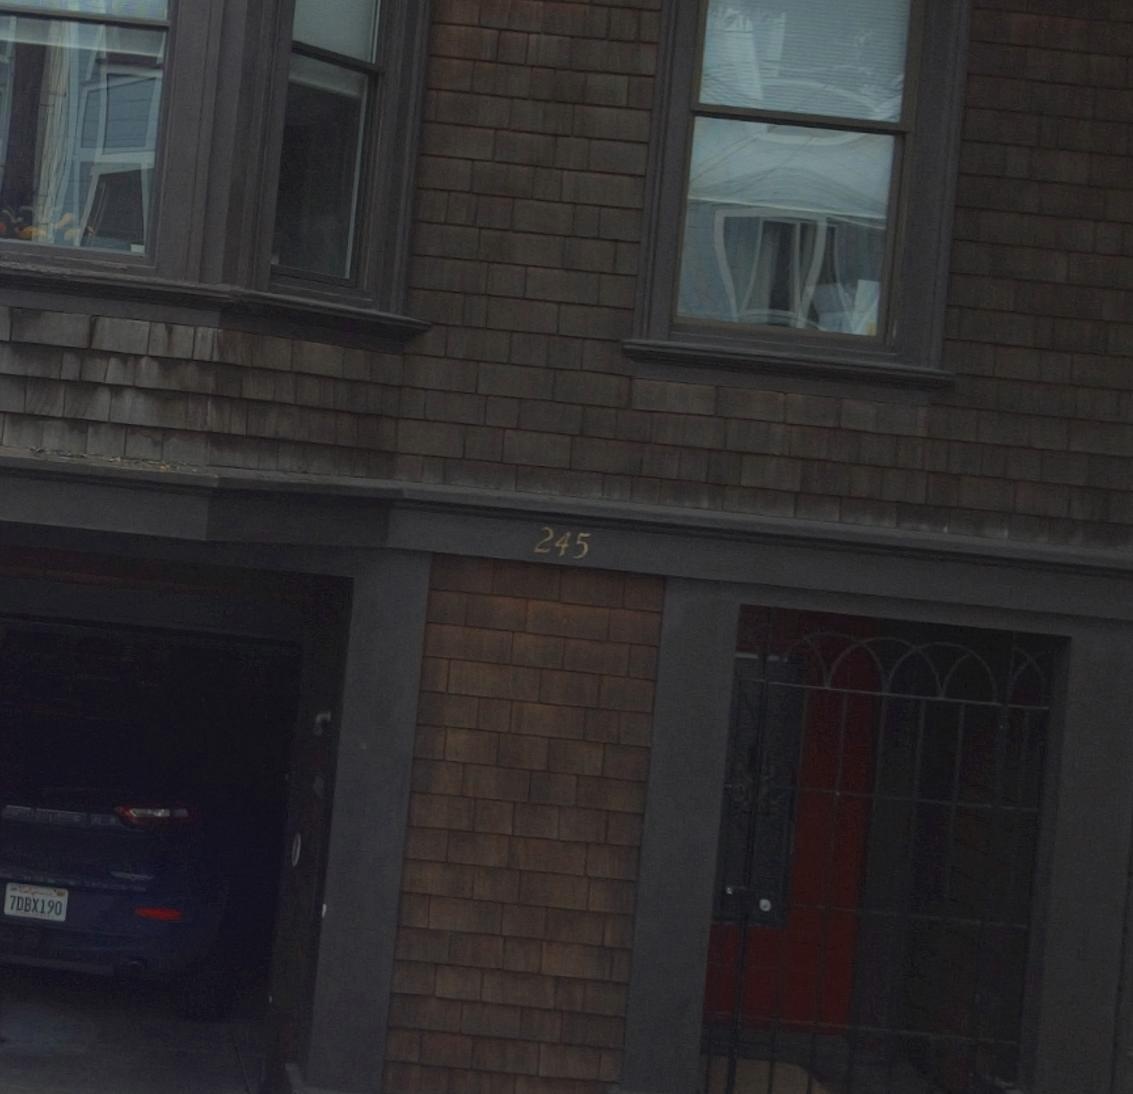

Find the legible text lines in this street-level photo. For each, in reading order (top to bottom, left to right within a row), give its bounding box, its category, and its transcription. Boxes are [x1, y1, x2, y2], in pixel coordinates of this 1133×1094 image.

[527, 521, 598, 564] StreetNumber: 245
[6, 891, 65, 919] None: 7DBX190